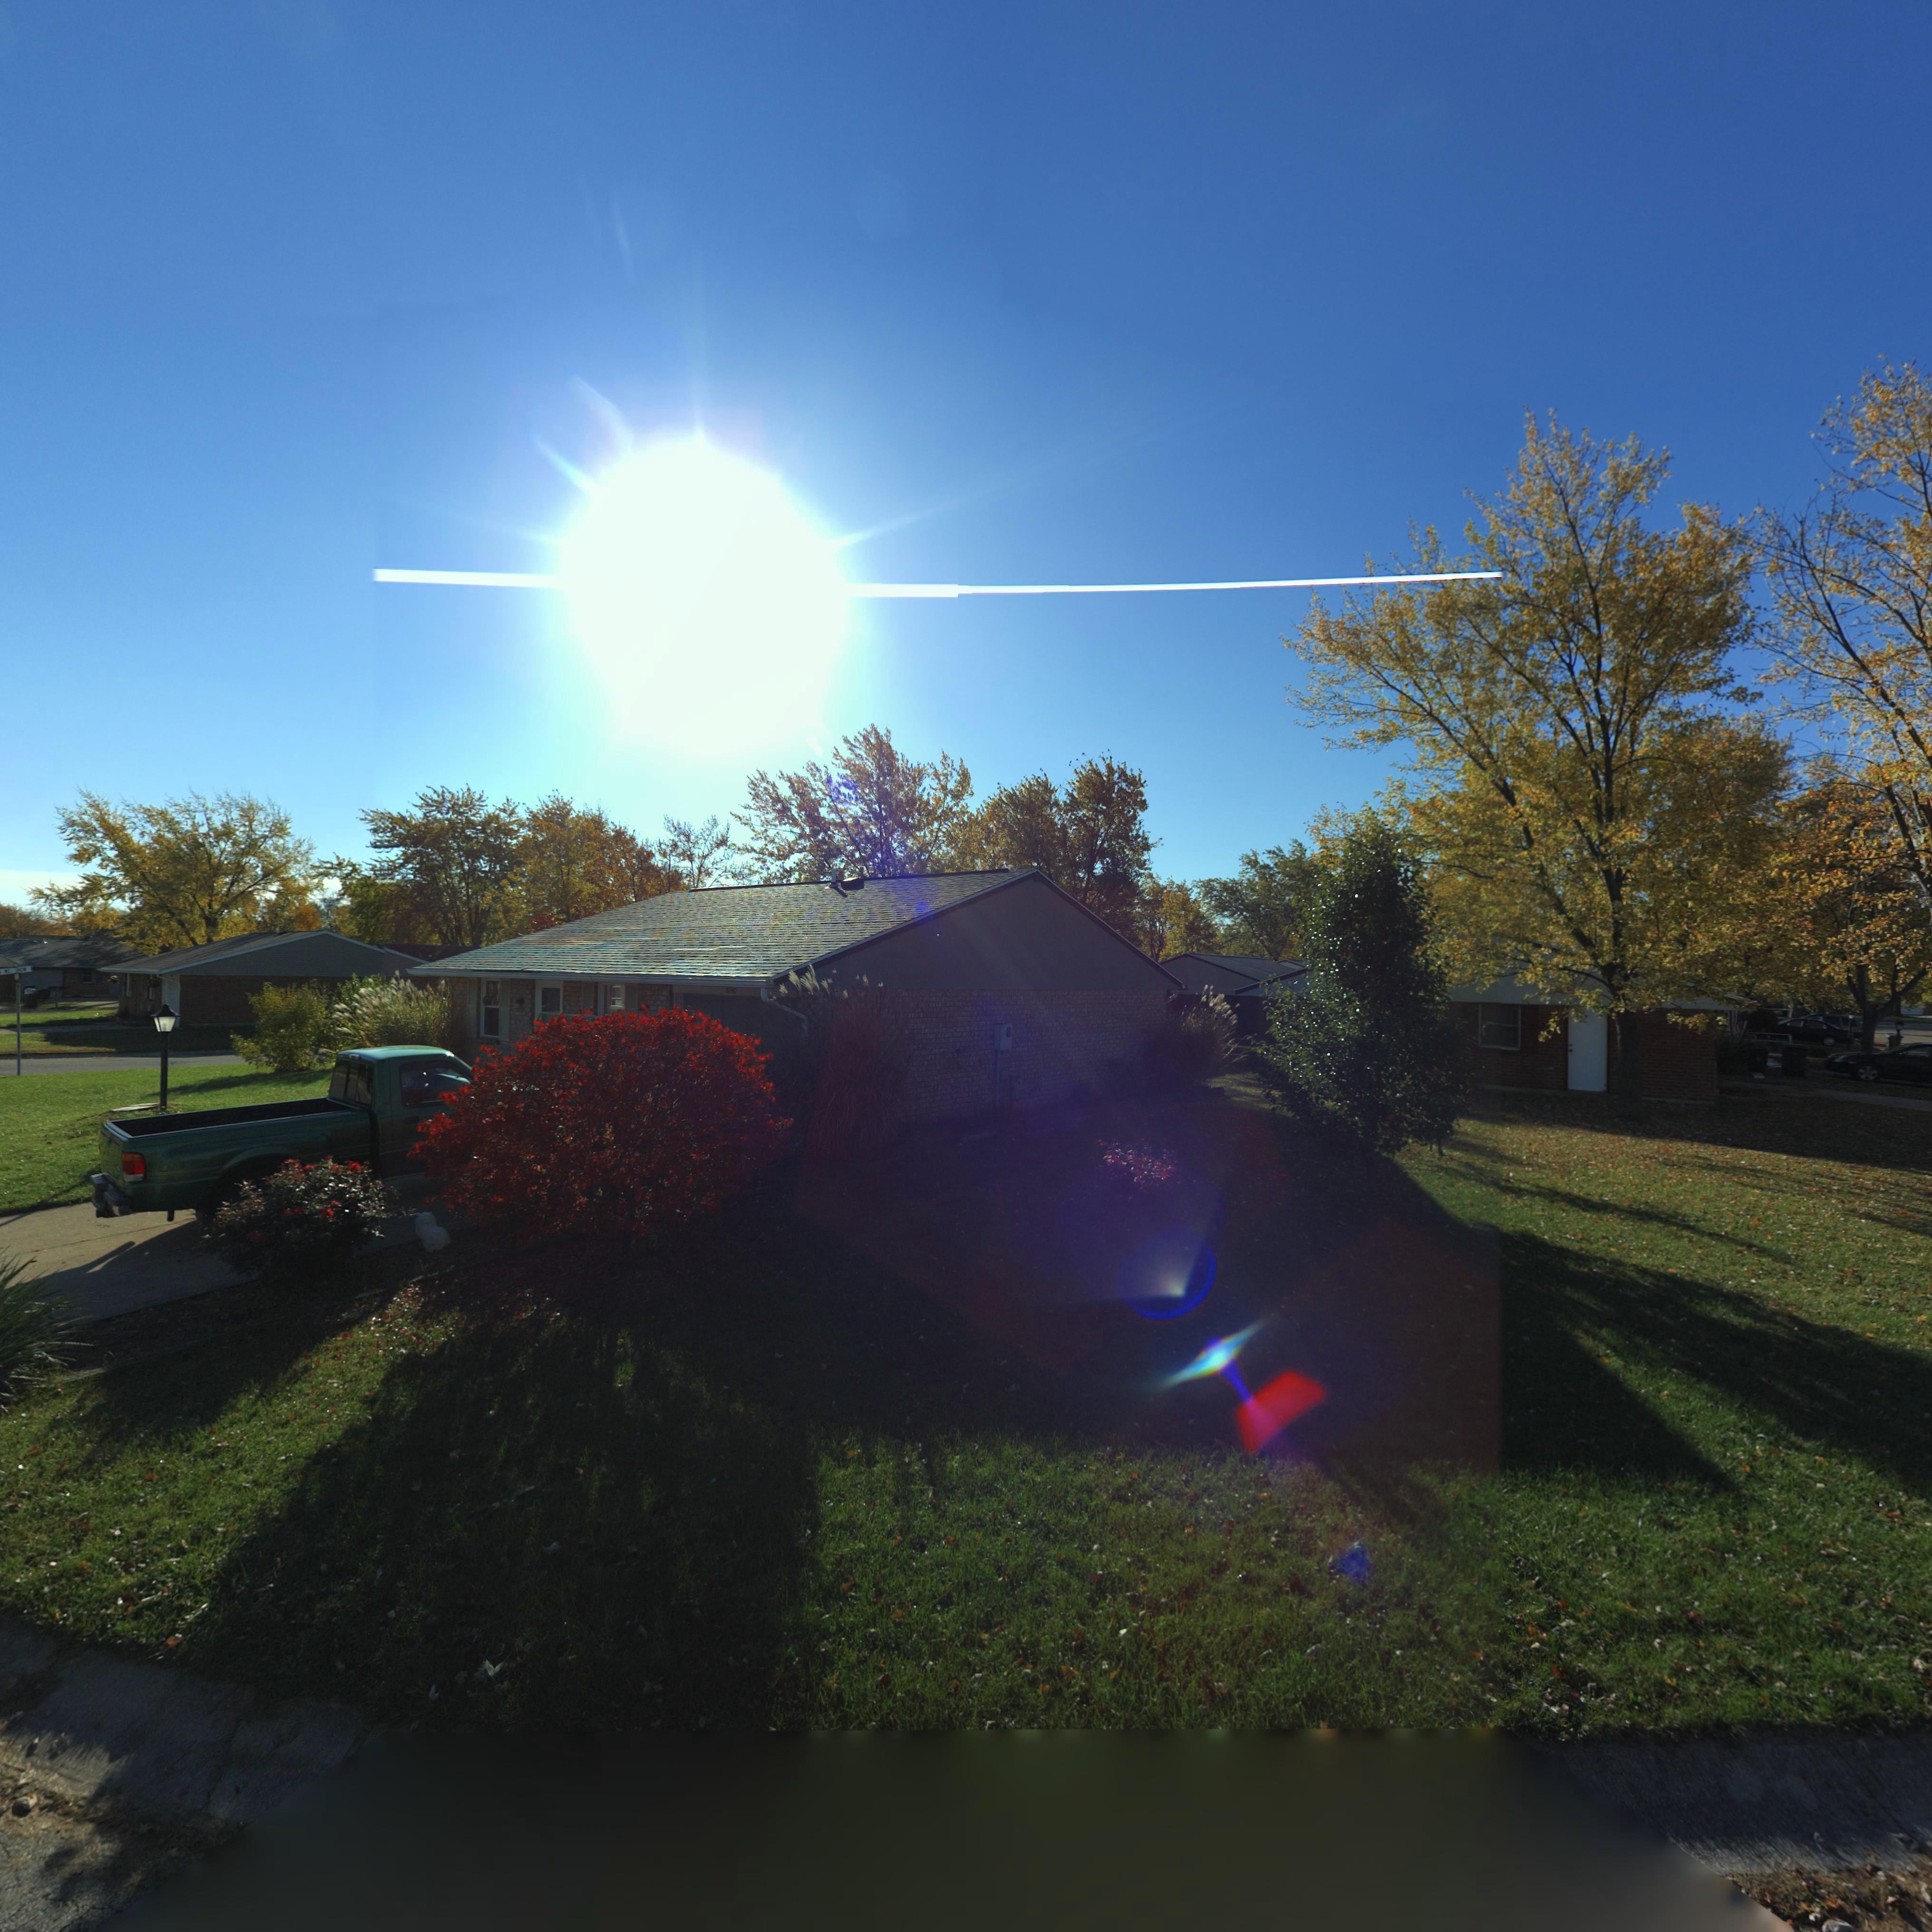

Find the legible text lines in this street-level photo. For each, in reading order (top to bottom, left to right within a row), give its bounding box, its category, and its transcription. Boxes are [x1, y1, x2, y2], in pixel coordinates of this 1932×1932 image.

[725, 986, 736, 995] StreetNumber: 8190